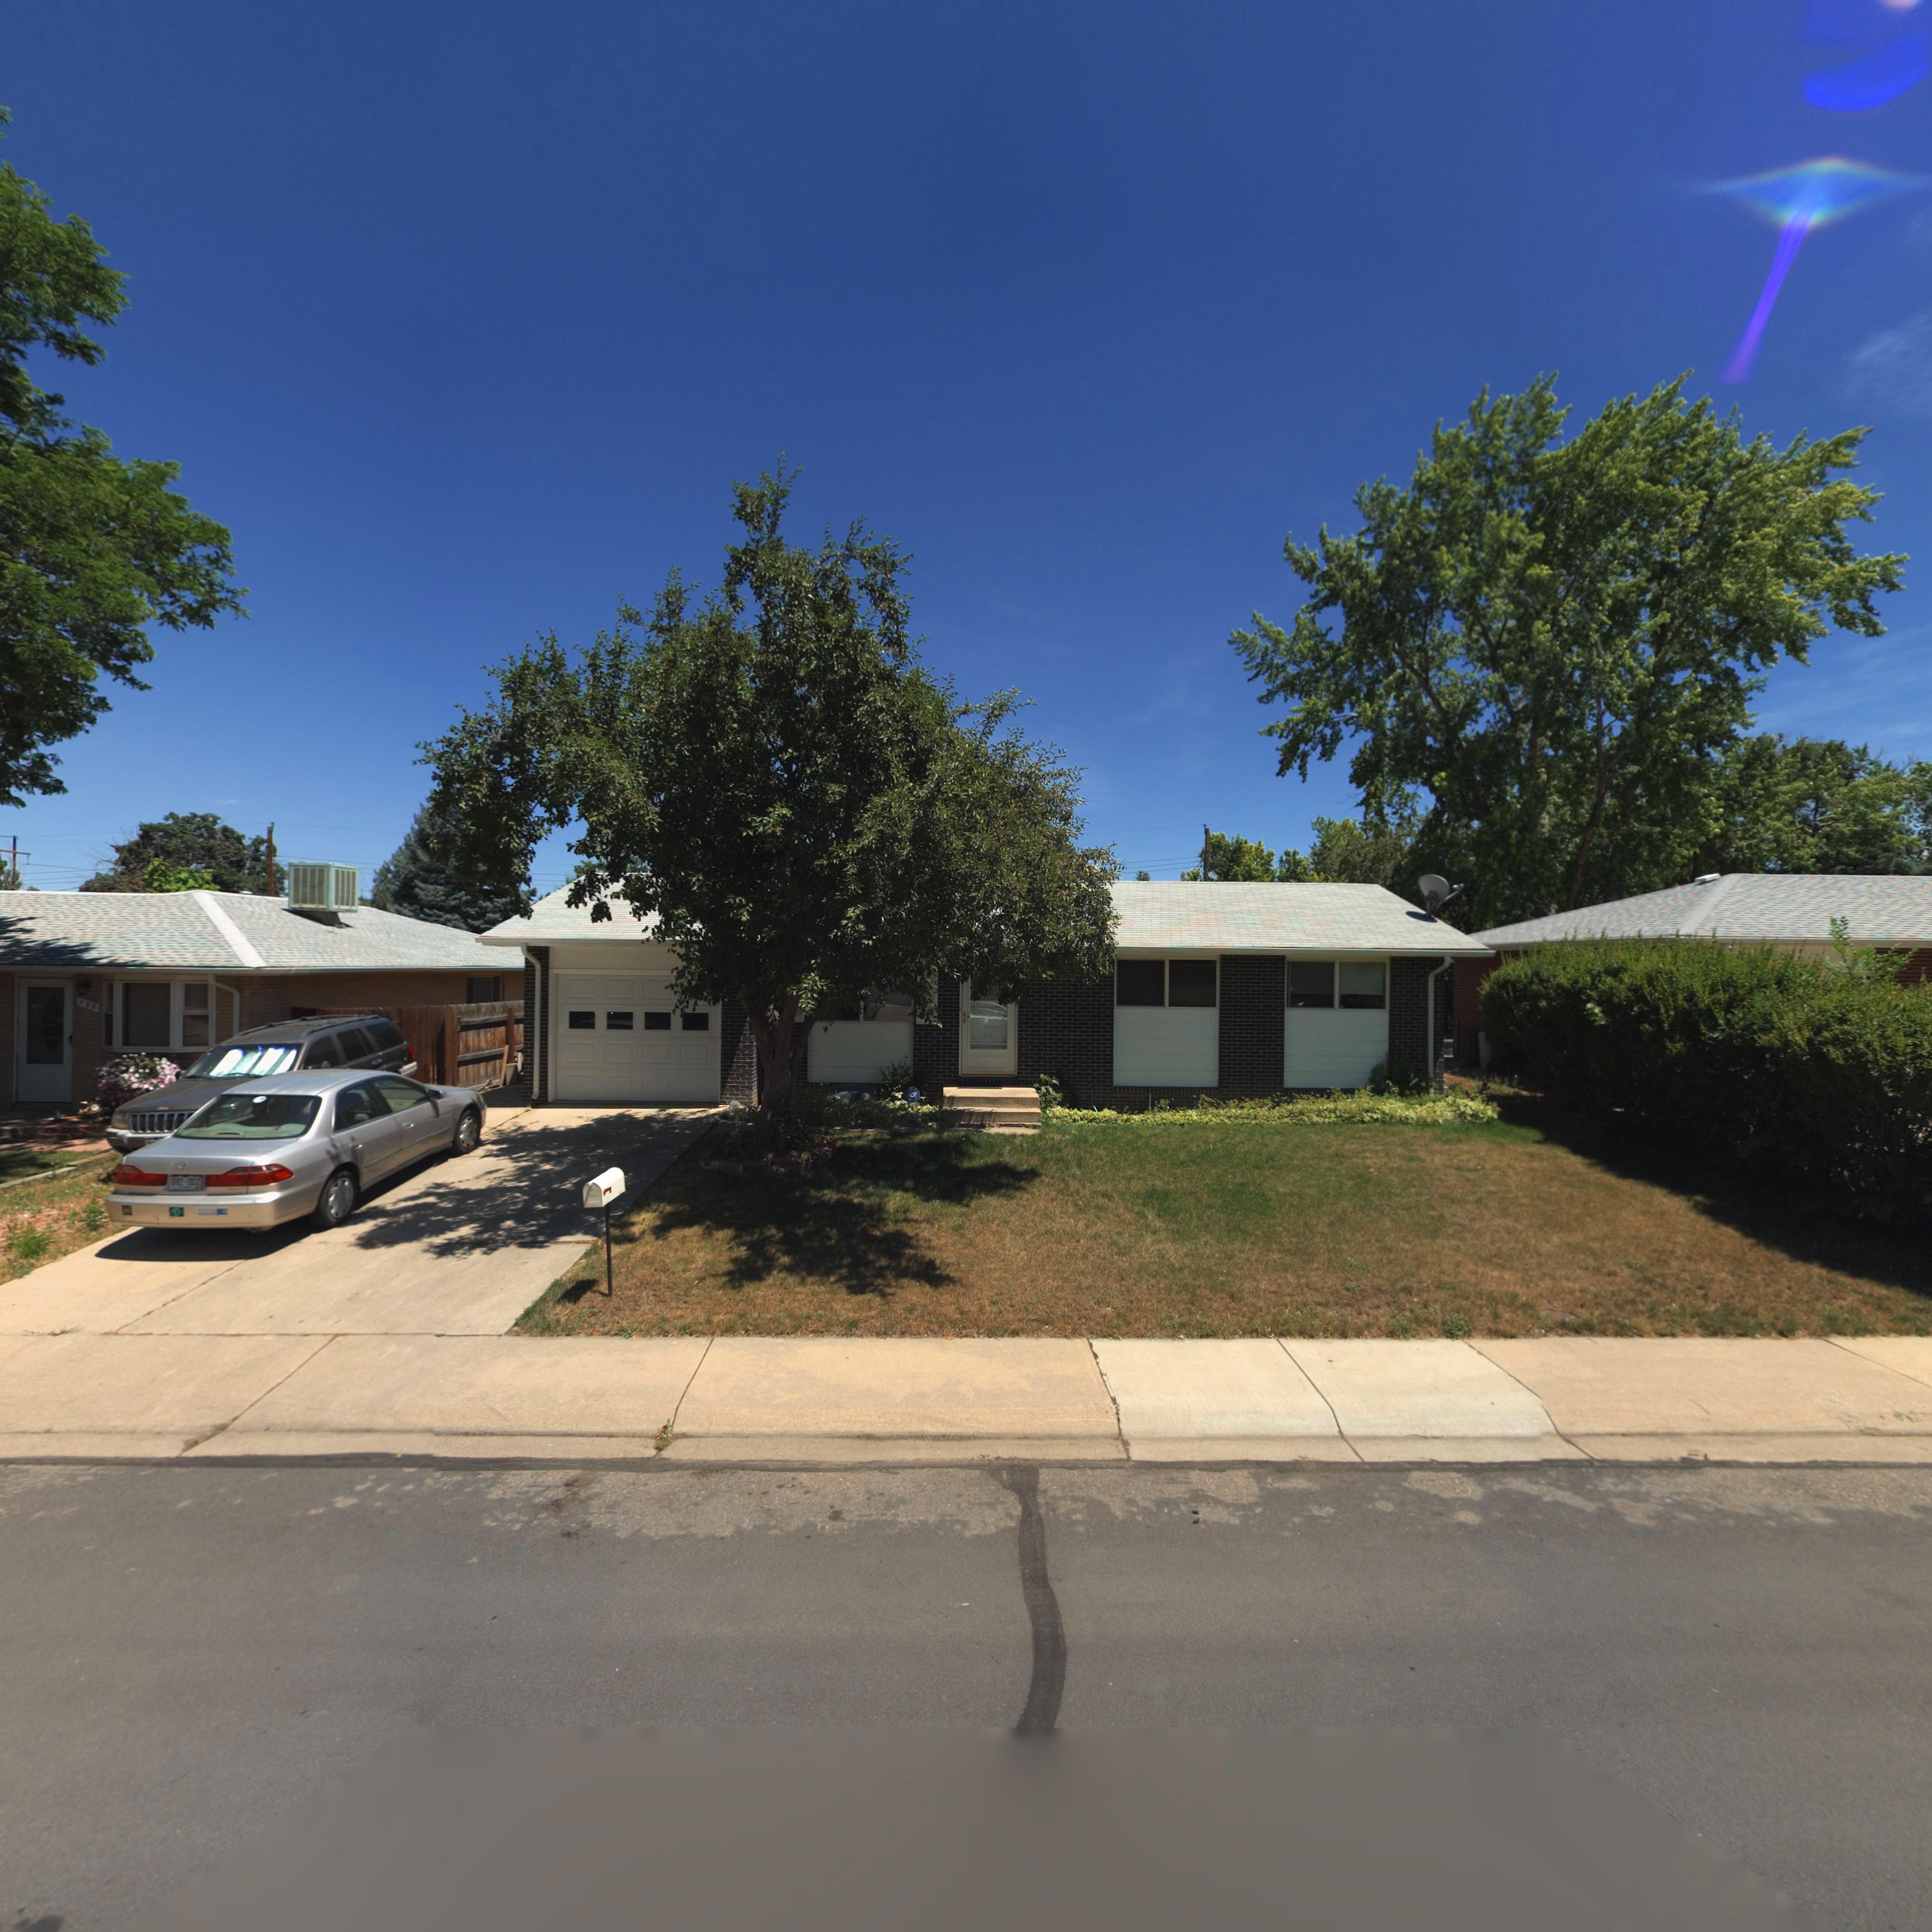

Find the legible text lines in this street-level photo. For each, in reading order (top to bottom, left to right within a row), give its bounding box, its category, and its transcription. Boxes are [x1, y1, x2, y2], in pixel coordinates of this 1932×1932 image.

[934, 979, 938, 993] StreetNumber: 02
[78, 999, 97, 1010] StreetNumber: 738